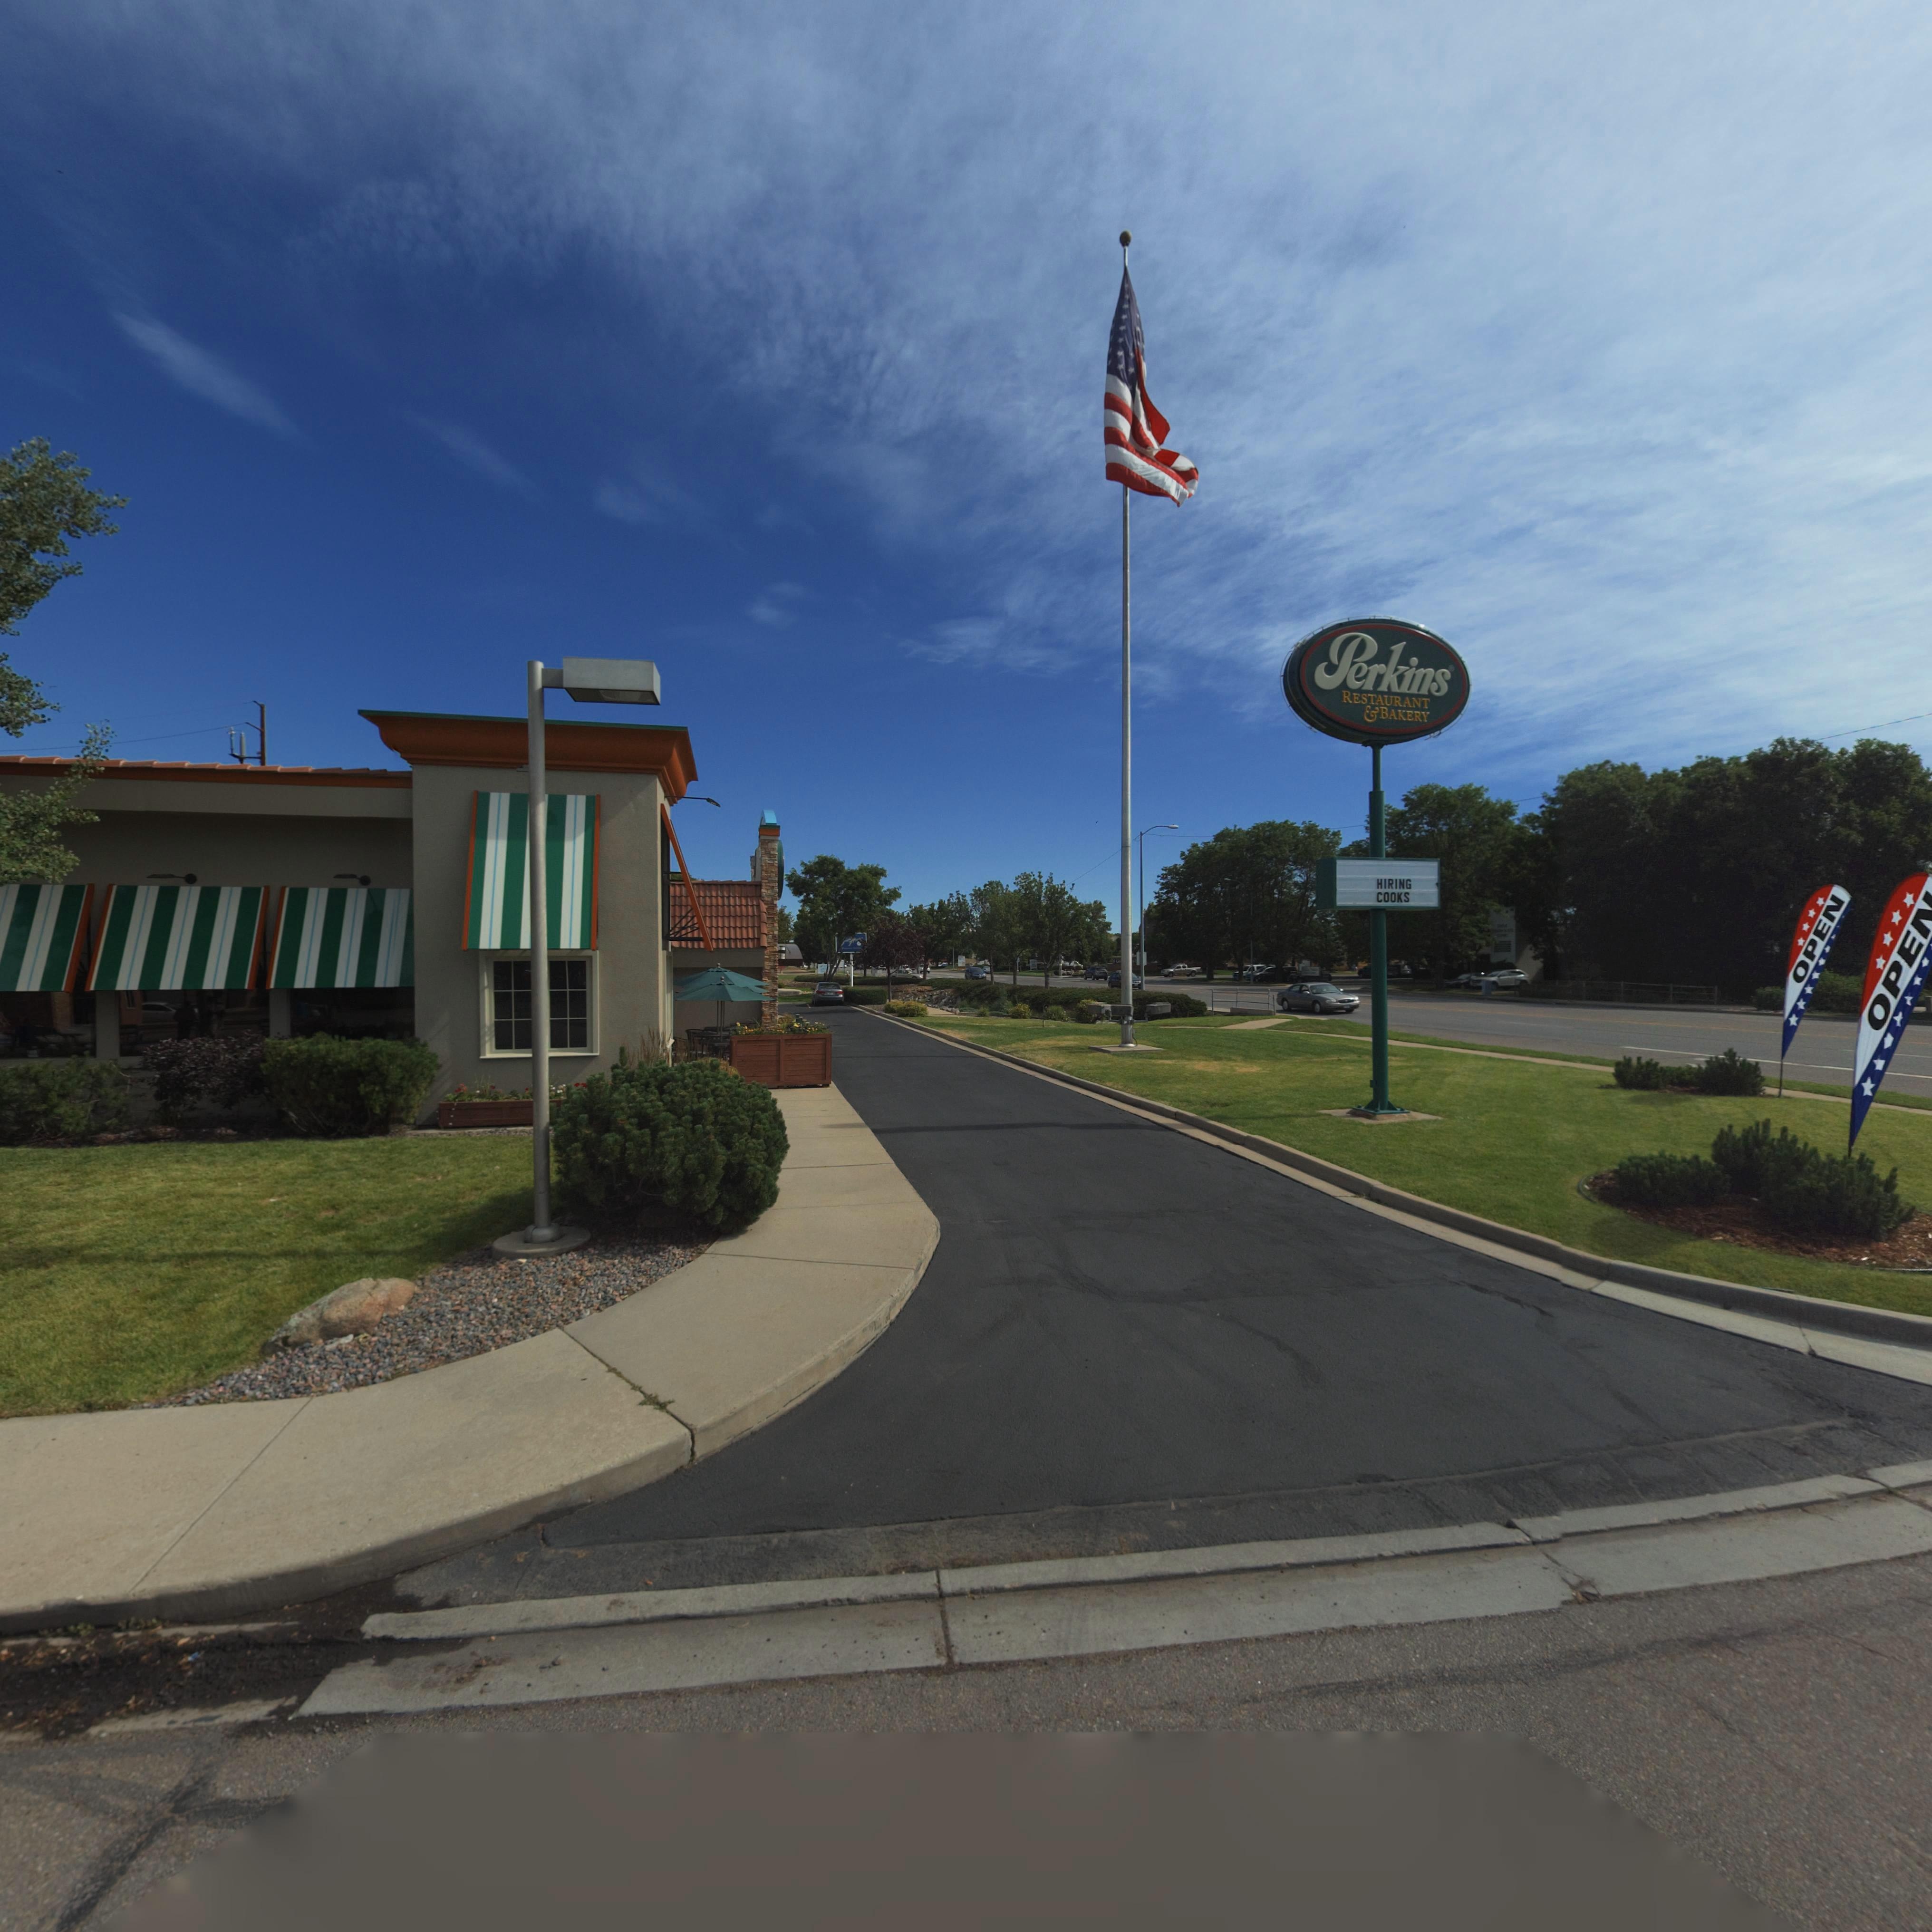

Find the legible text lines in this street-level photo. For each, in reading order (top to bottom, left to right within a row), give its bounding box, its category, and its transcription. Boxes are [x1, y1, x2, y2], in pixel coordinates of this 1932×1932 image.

[1313, 631, 1451, 697] BusinessName: Perkins
[1341, 689, 1431, 709] BusinessName: RESTAURANT
[1362, 704, 1430, 723] BusinessName: & BAKERY